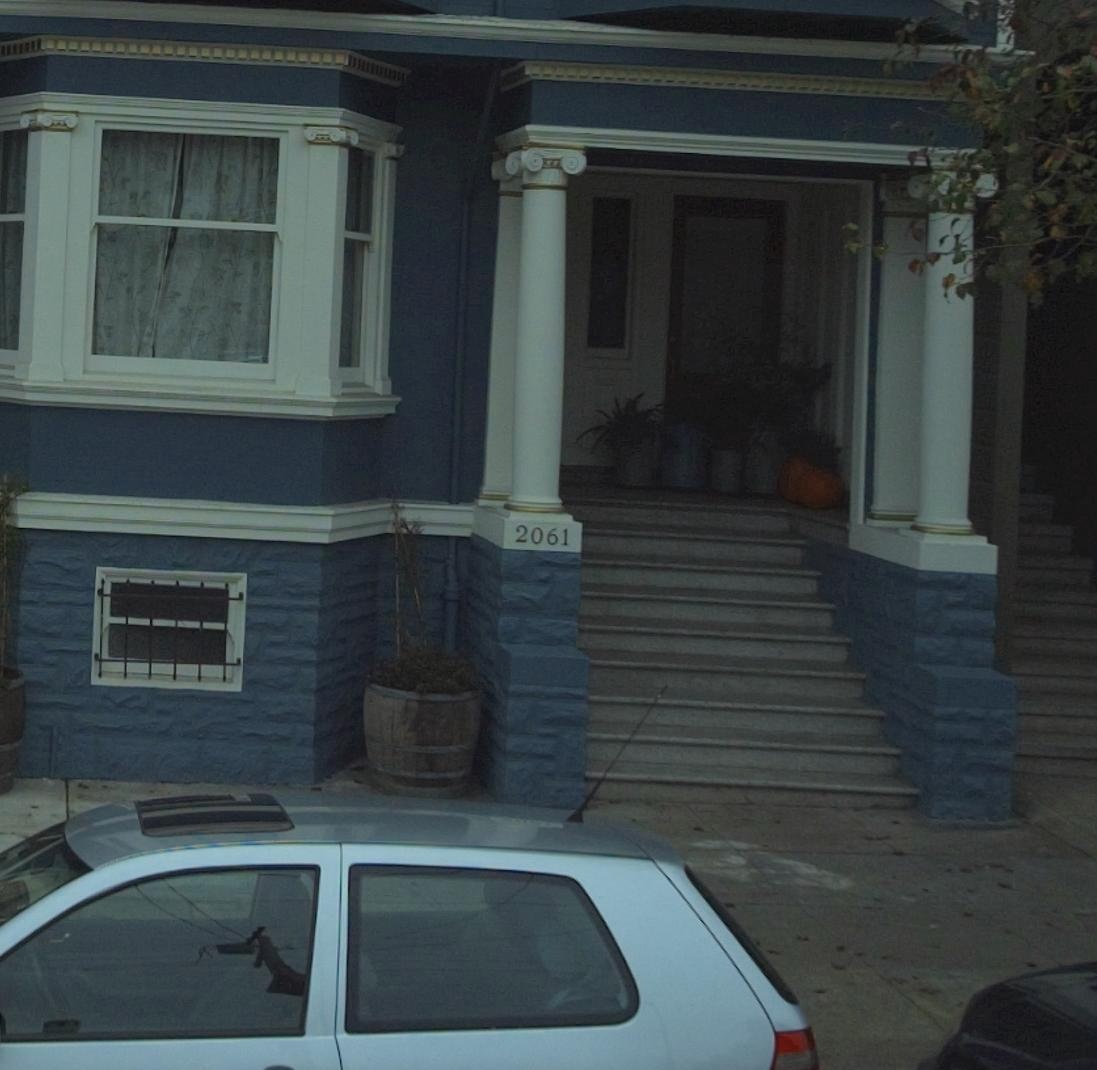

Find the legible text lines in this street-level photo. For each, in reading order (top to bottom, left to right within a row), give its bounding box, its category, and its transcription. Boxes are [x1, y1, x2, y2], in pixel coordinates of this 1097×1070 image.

[514, 522, 569, 548] StreetNumber: 2061